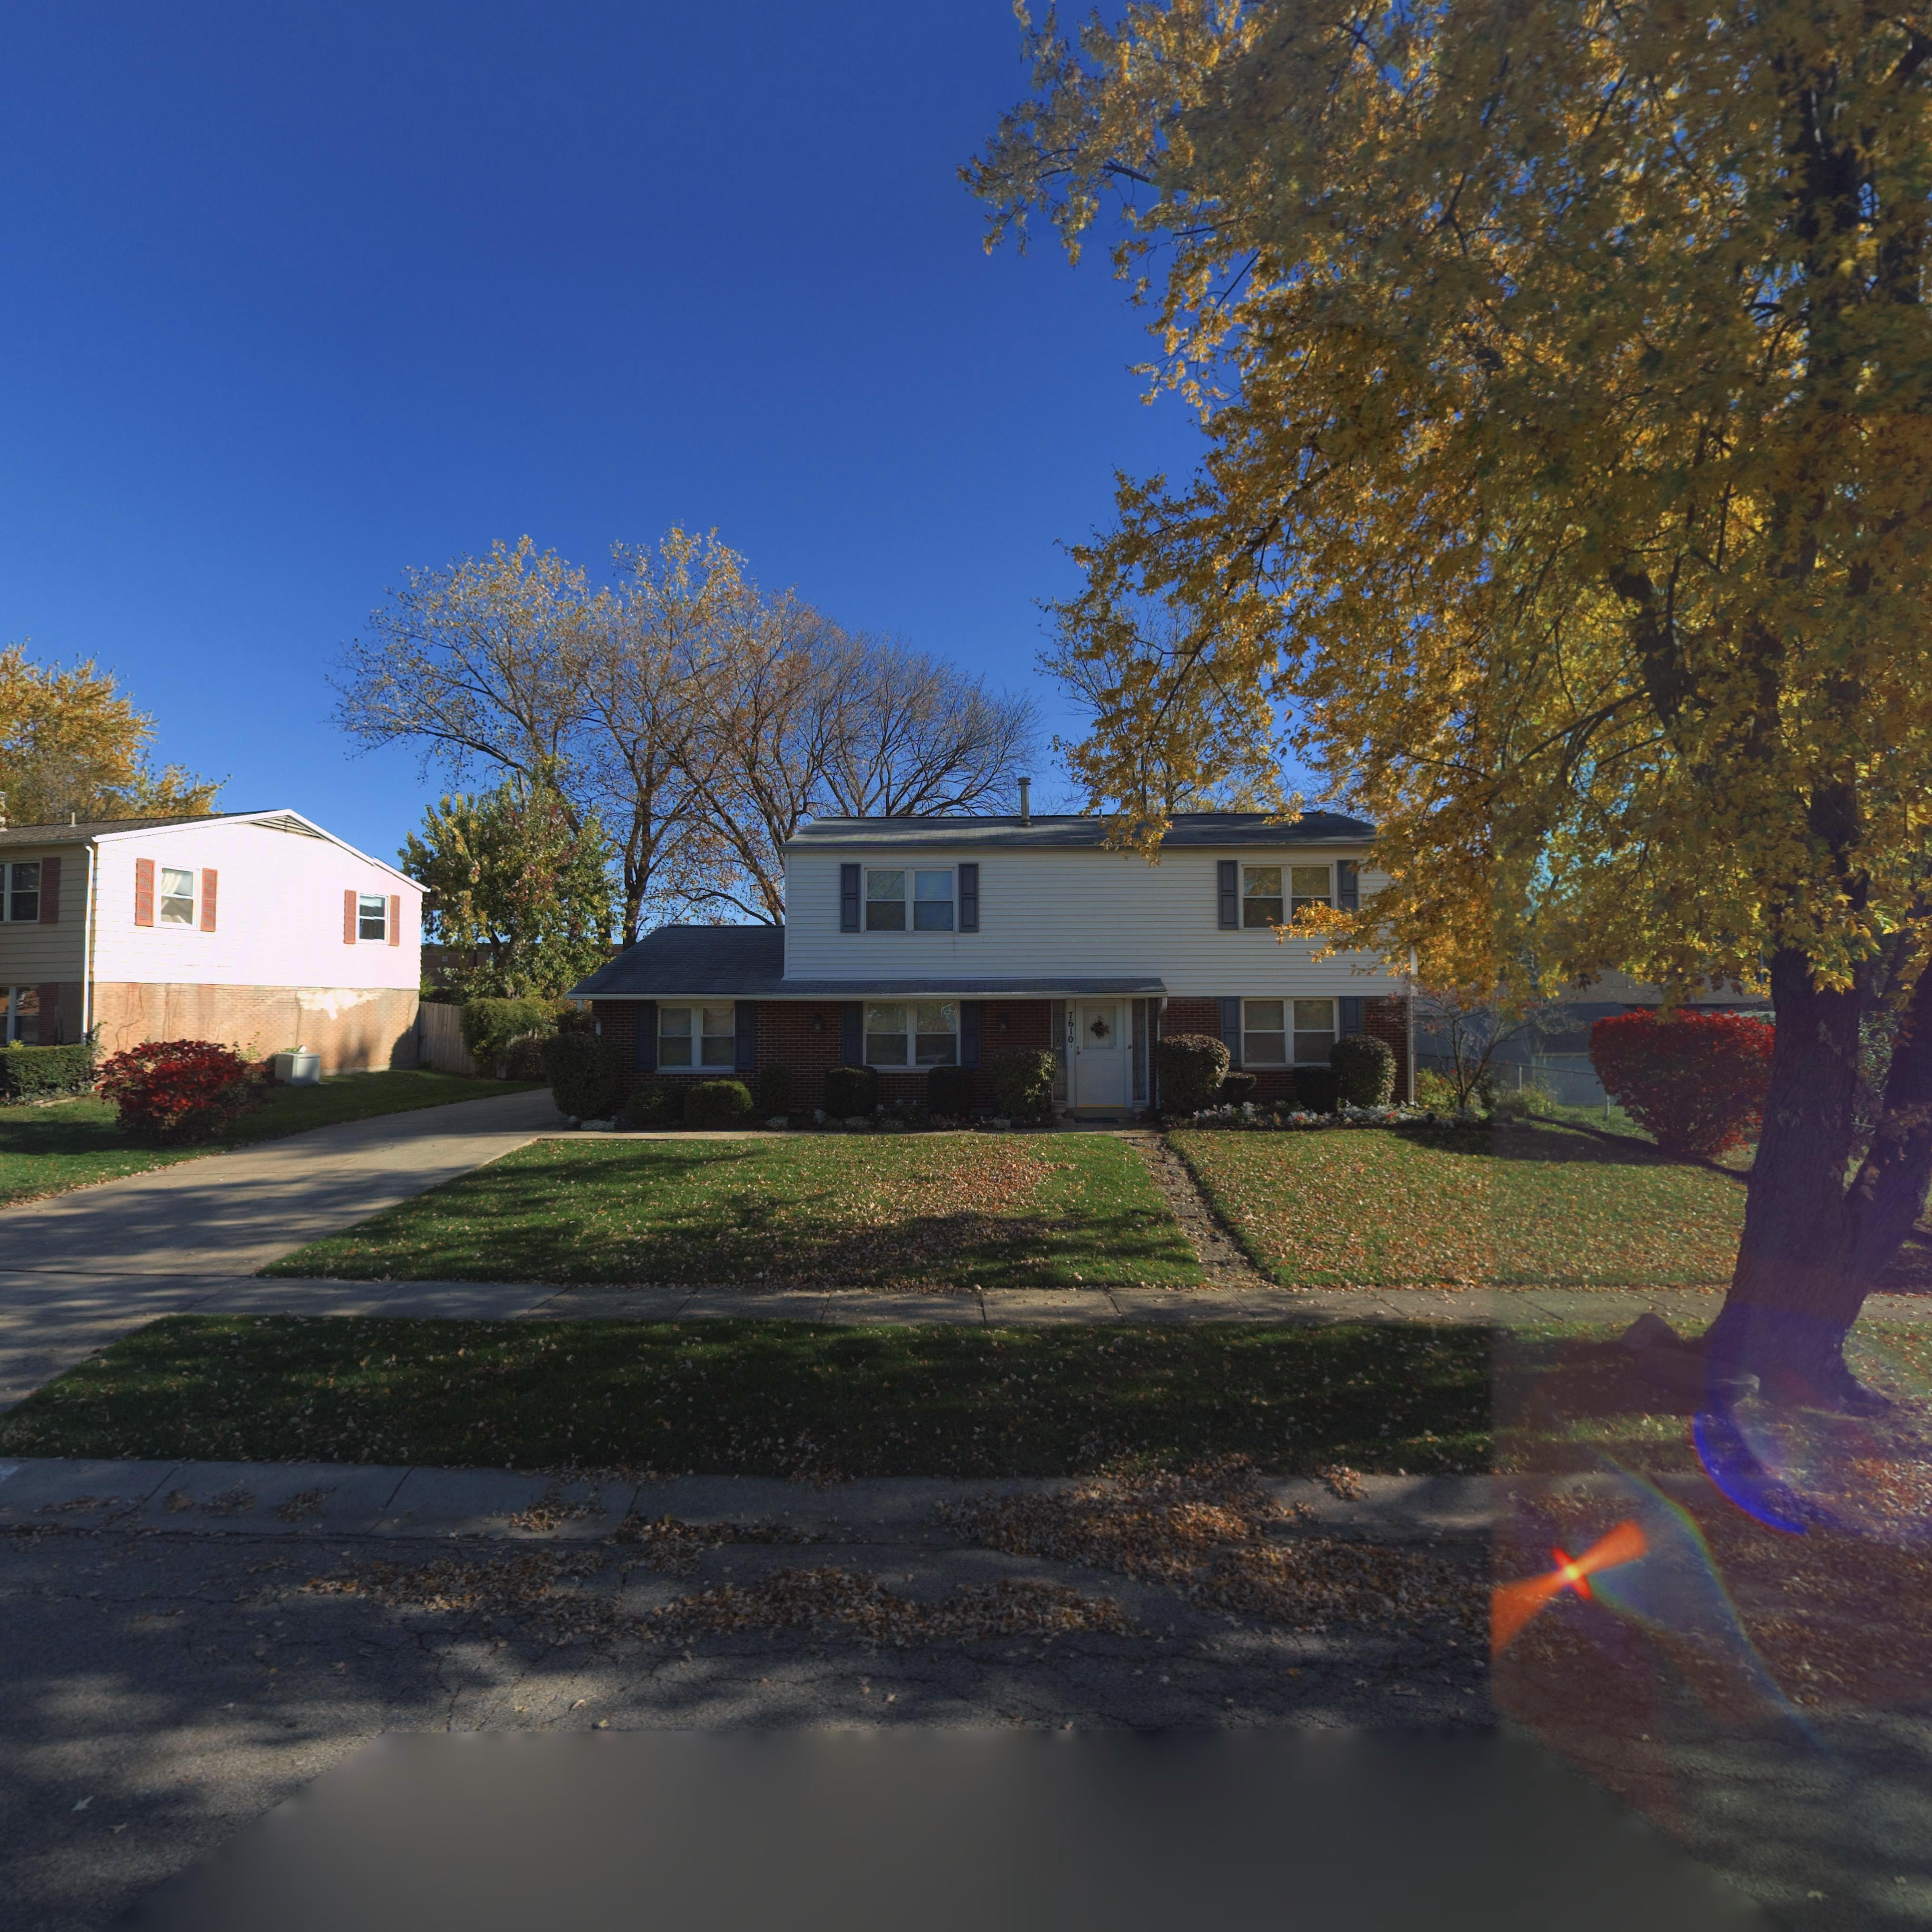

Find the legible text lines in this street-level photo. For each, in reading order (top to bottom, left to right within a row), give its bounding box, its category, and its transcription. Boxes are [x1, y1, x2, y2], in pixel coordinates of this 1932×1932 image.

[1068, 1011, 1074, 1043] StreetNumber: 7610